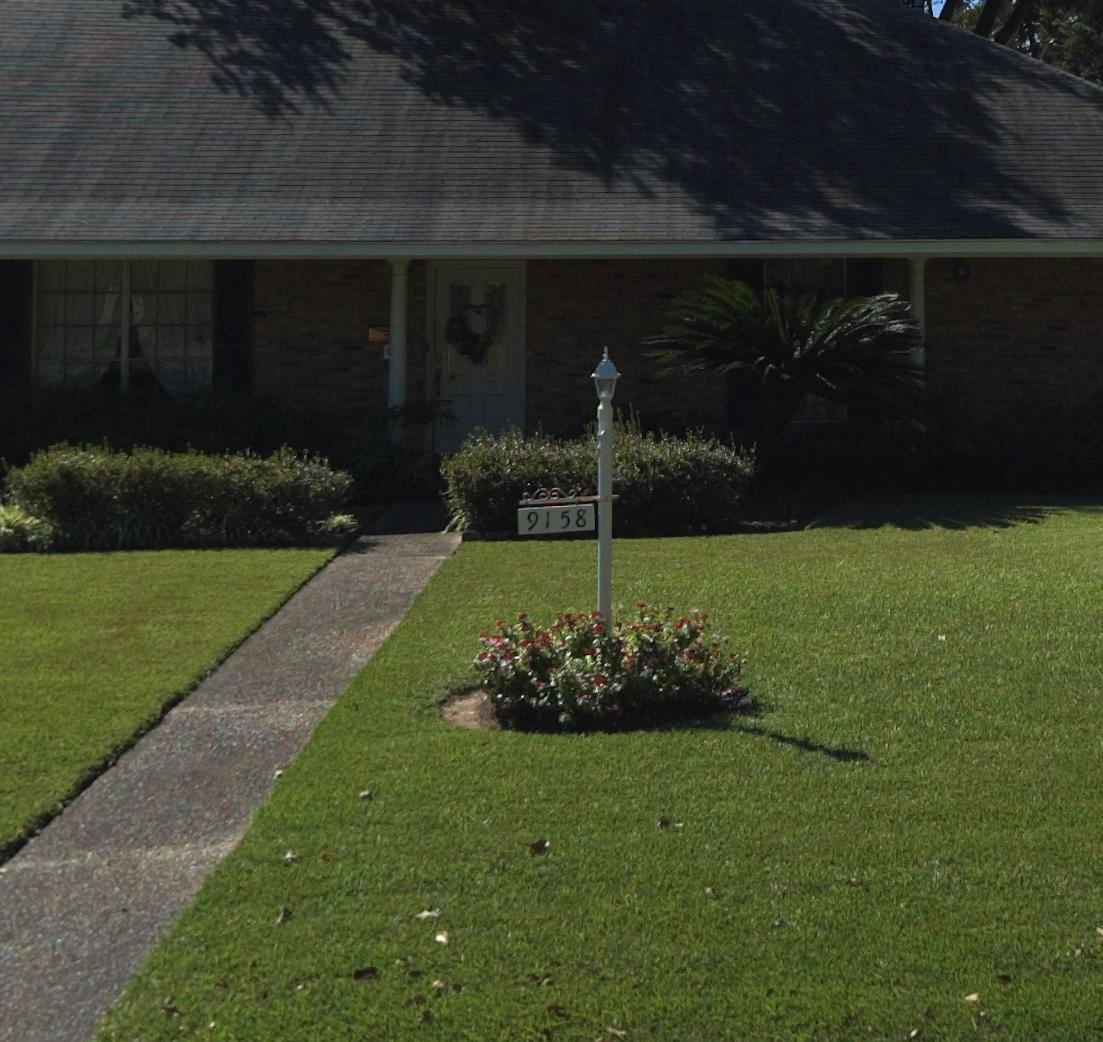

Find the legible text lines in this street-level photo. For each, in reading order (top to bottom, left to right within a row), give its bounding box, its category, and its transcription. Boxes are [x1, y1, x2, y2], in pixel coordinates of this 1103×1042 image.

[525, 506, 589, 534] StreetNumber: 9158